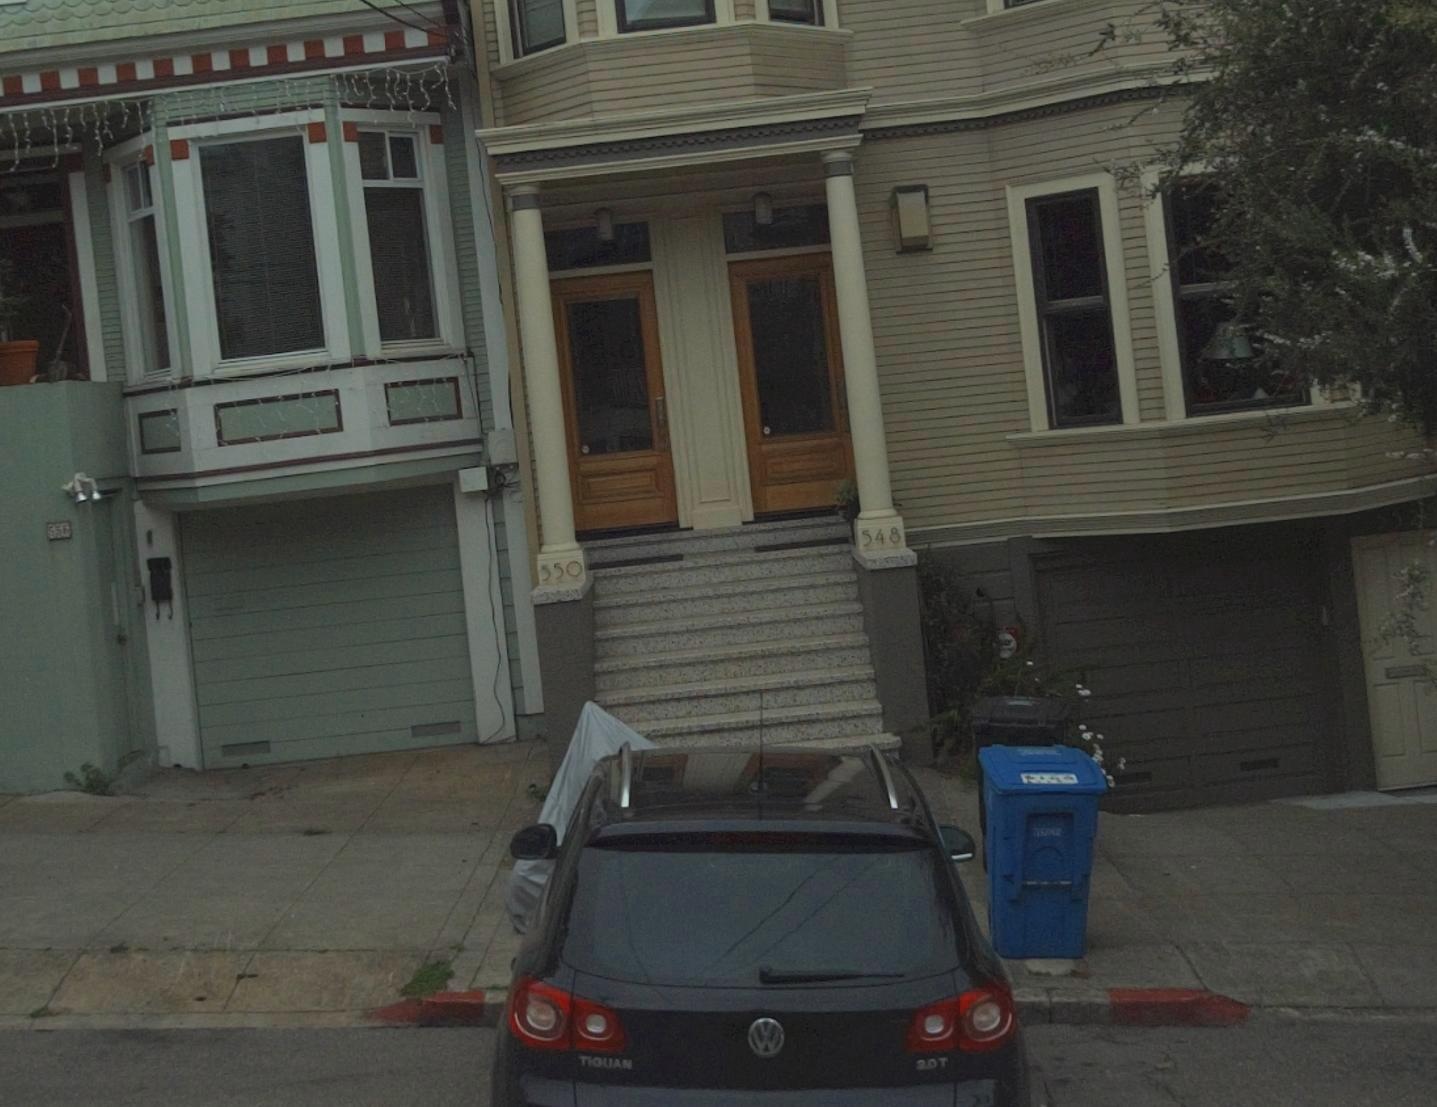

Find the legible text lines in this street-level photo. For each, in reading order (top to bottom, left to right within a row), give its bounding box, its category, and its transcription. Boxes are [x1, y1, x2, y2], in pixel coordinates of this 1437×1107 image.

[46, 522, 70, 539] StreetNumber: 556
[861, 524, 903, 549] StreetNumber: 548
[539, 558, 585, 583] StreetNumber: 550
[575, 1053, 634, 1072] None: TIGUAN
[914, 1054, 949, 1073] None: 2.0T